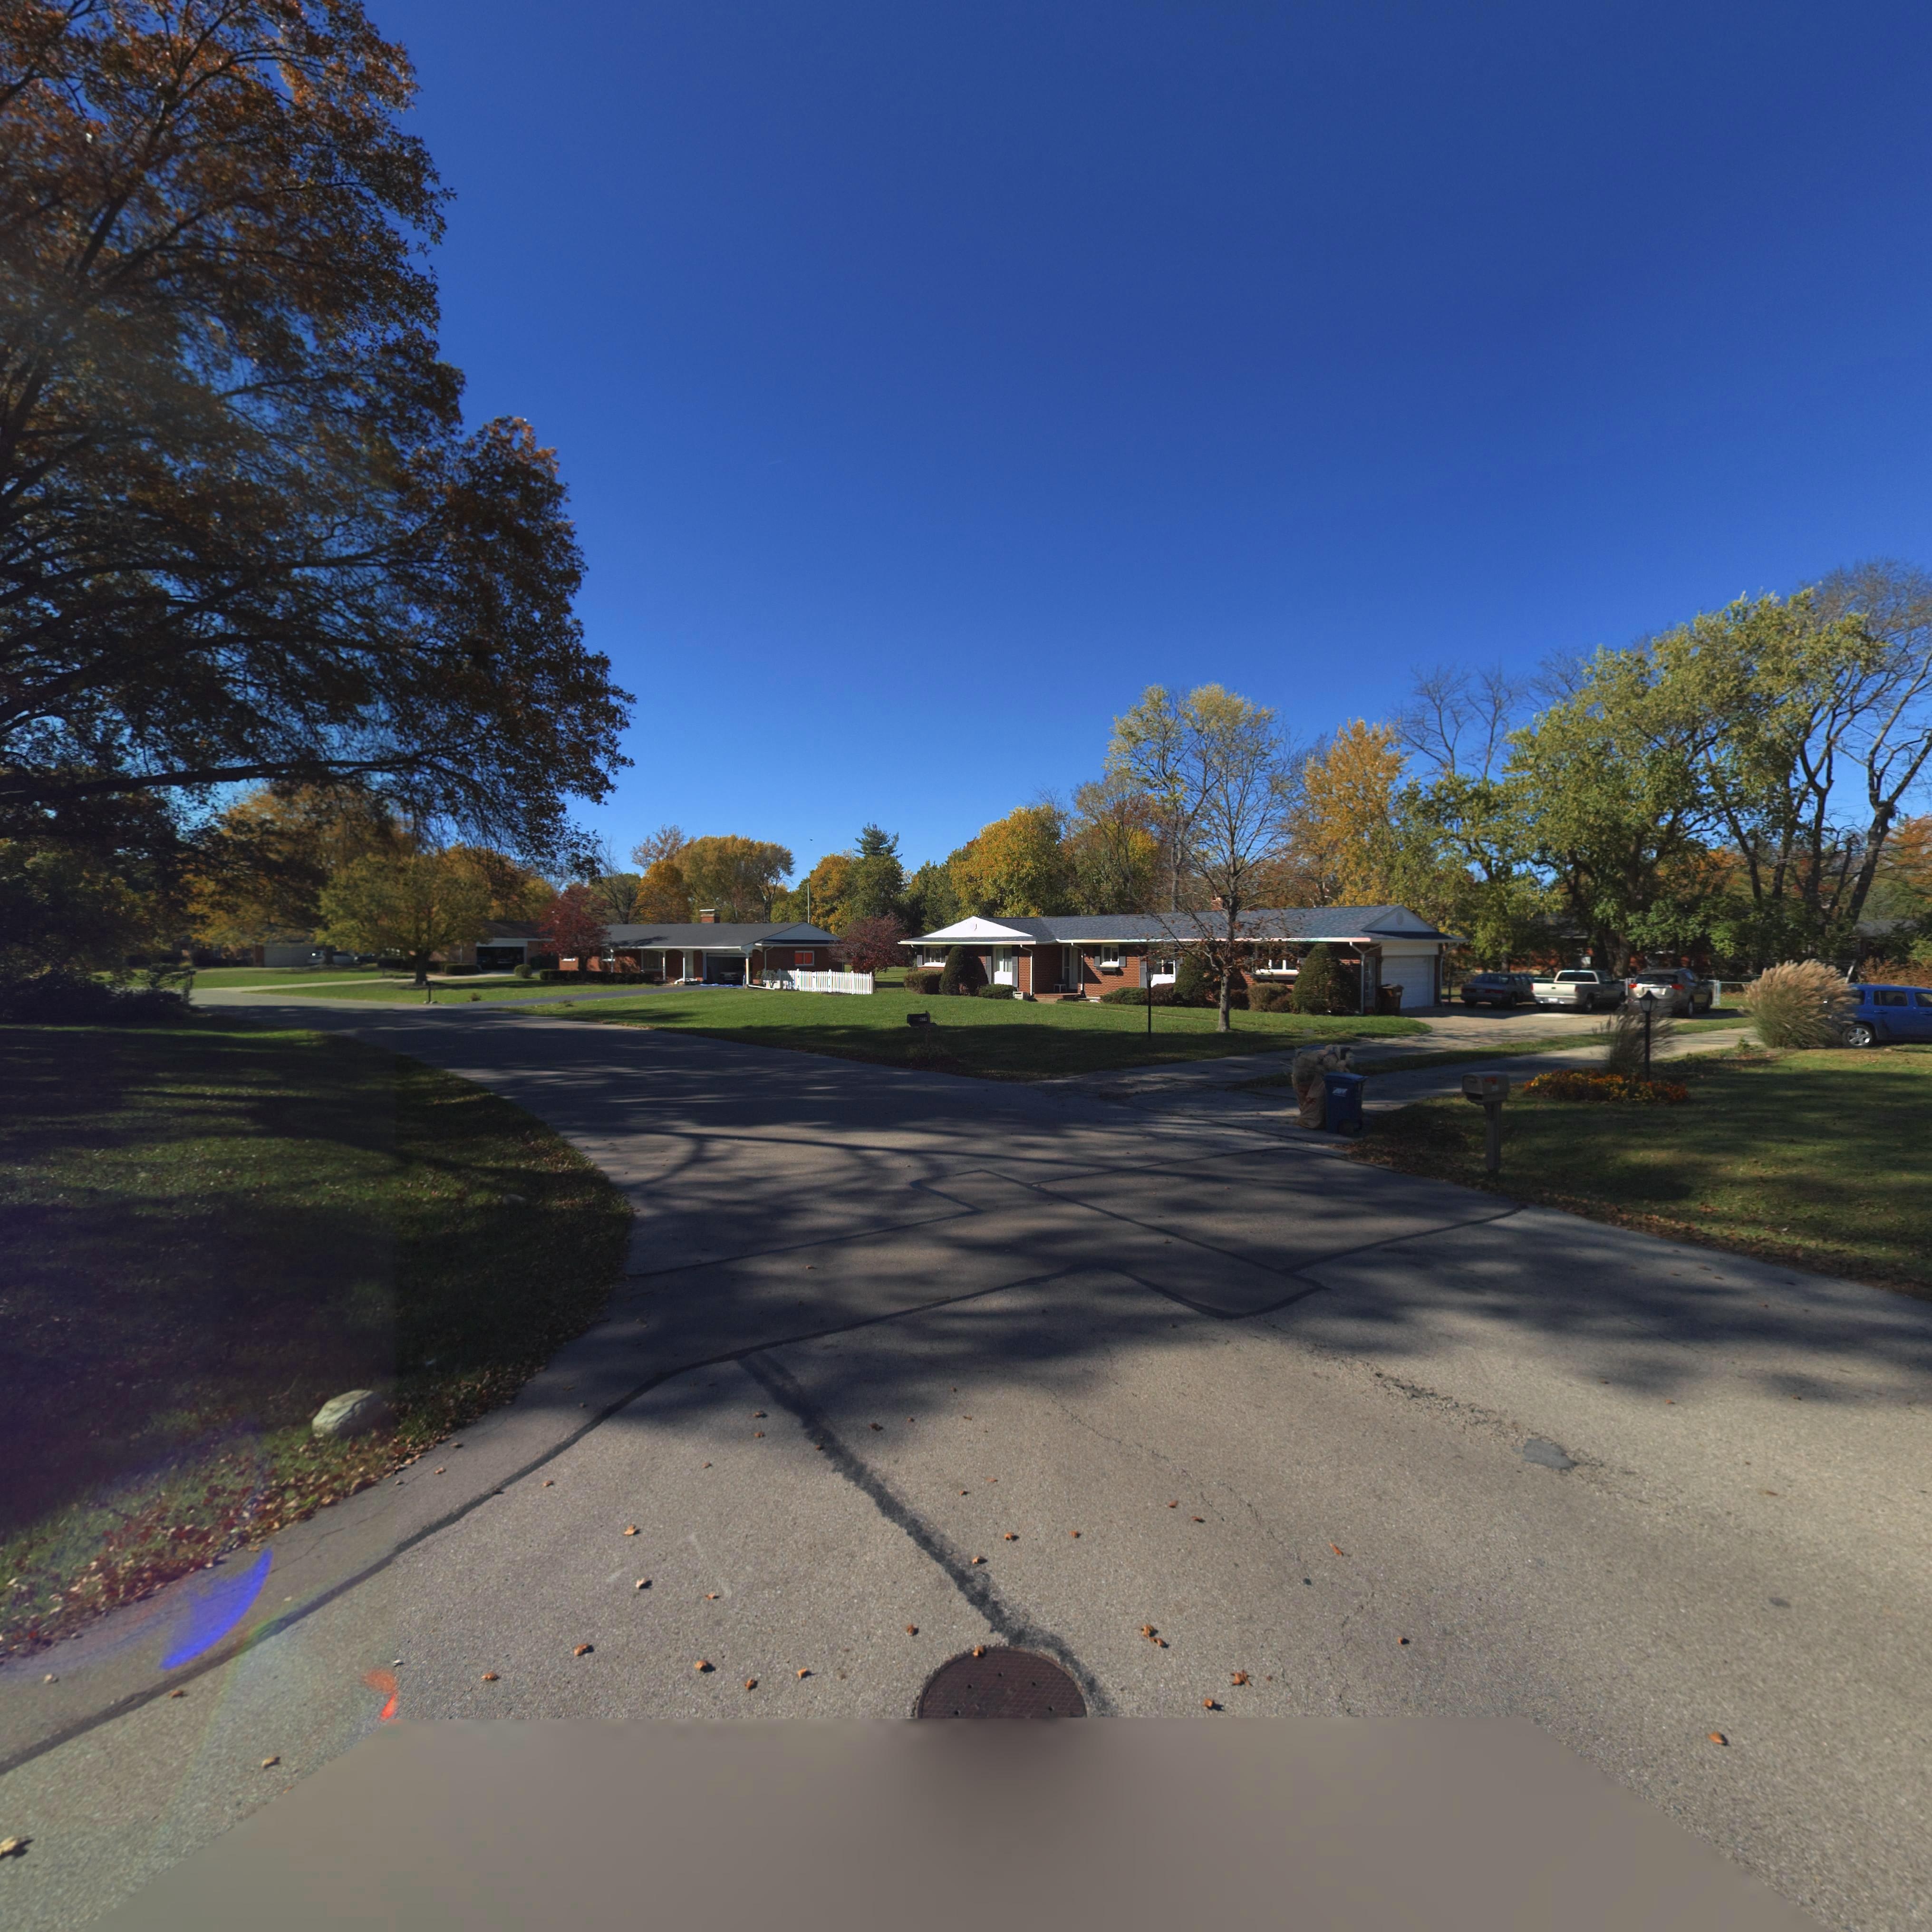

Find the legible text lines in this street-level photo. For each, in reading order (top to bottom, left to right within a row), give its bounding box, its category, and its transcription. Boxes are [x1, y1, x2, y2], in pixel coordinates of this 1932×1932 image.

[919, 1017, 927, 1021] StreetNumber: 4*4